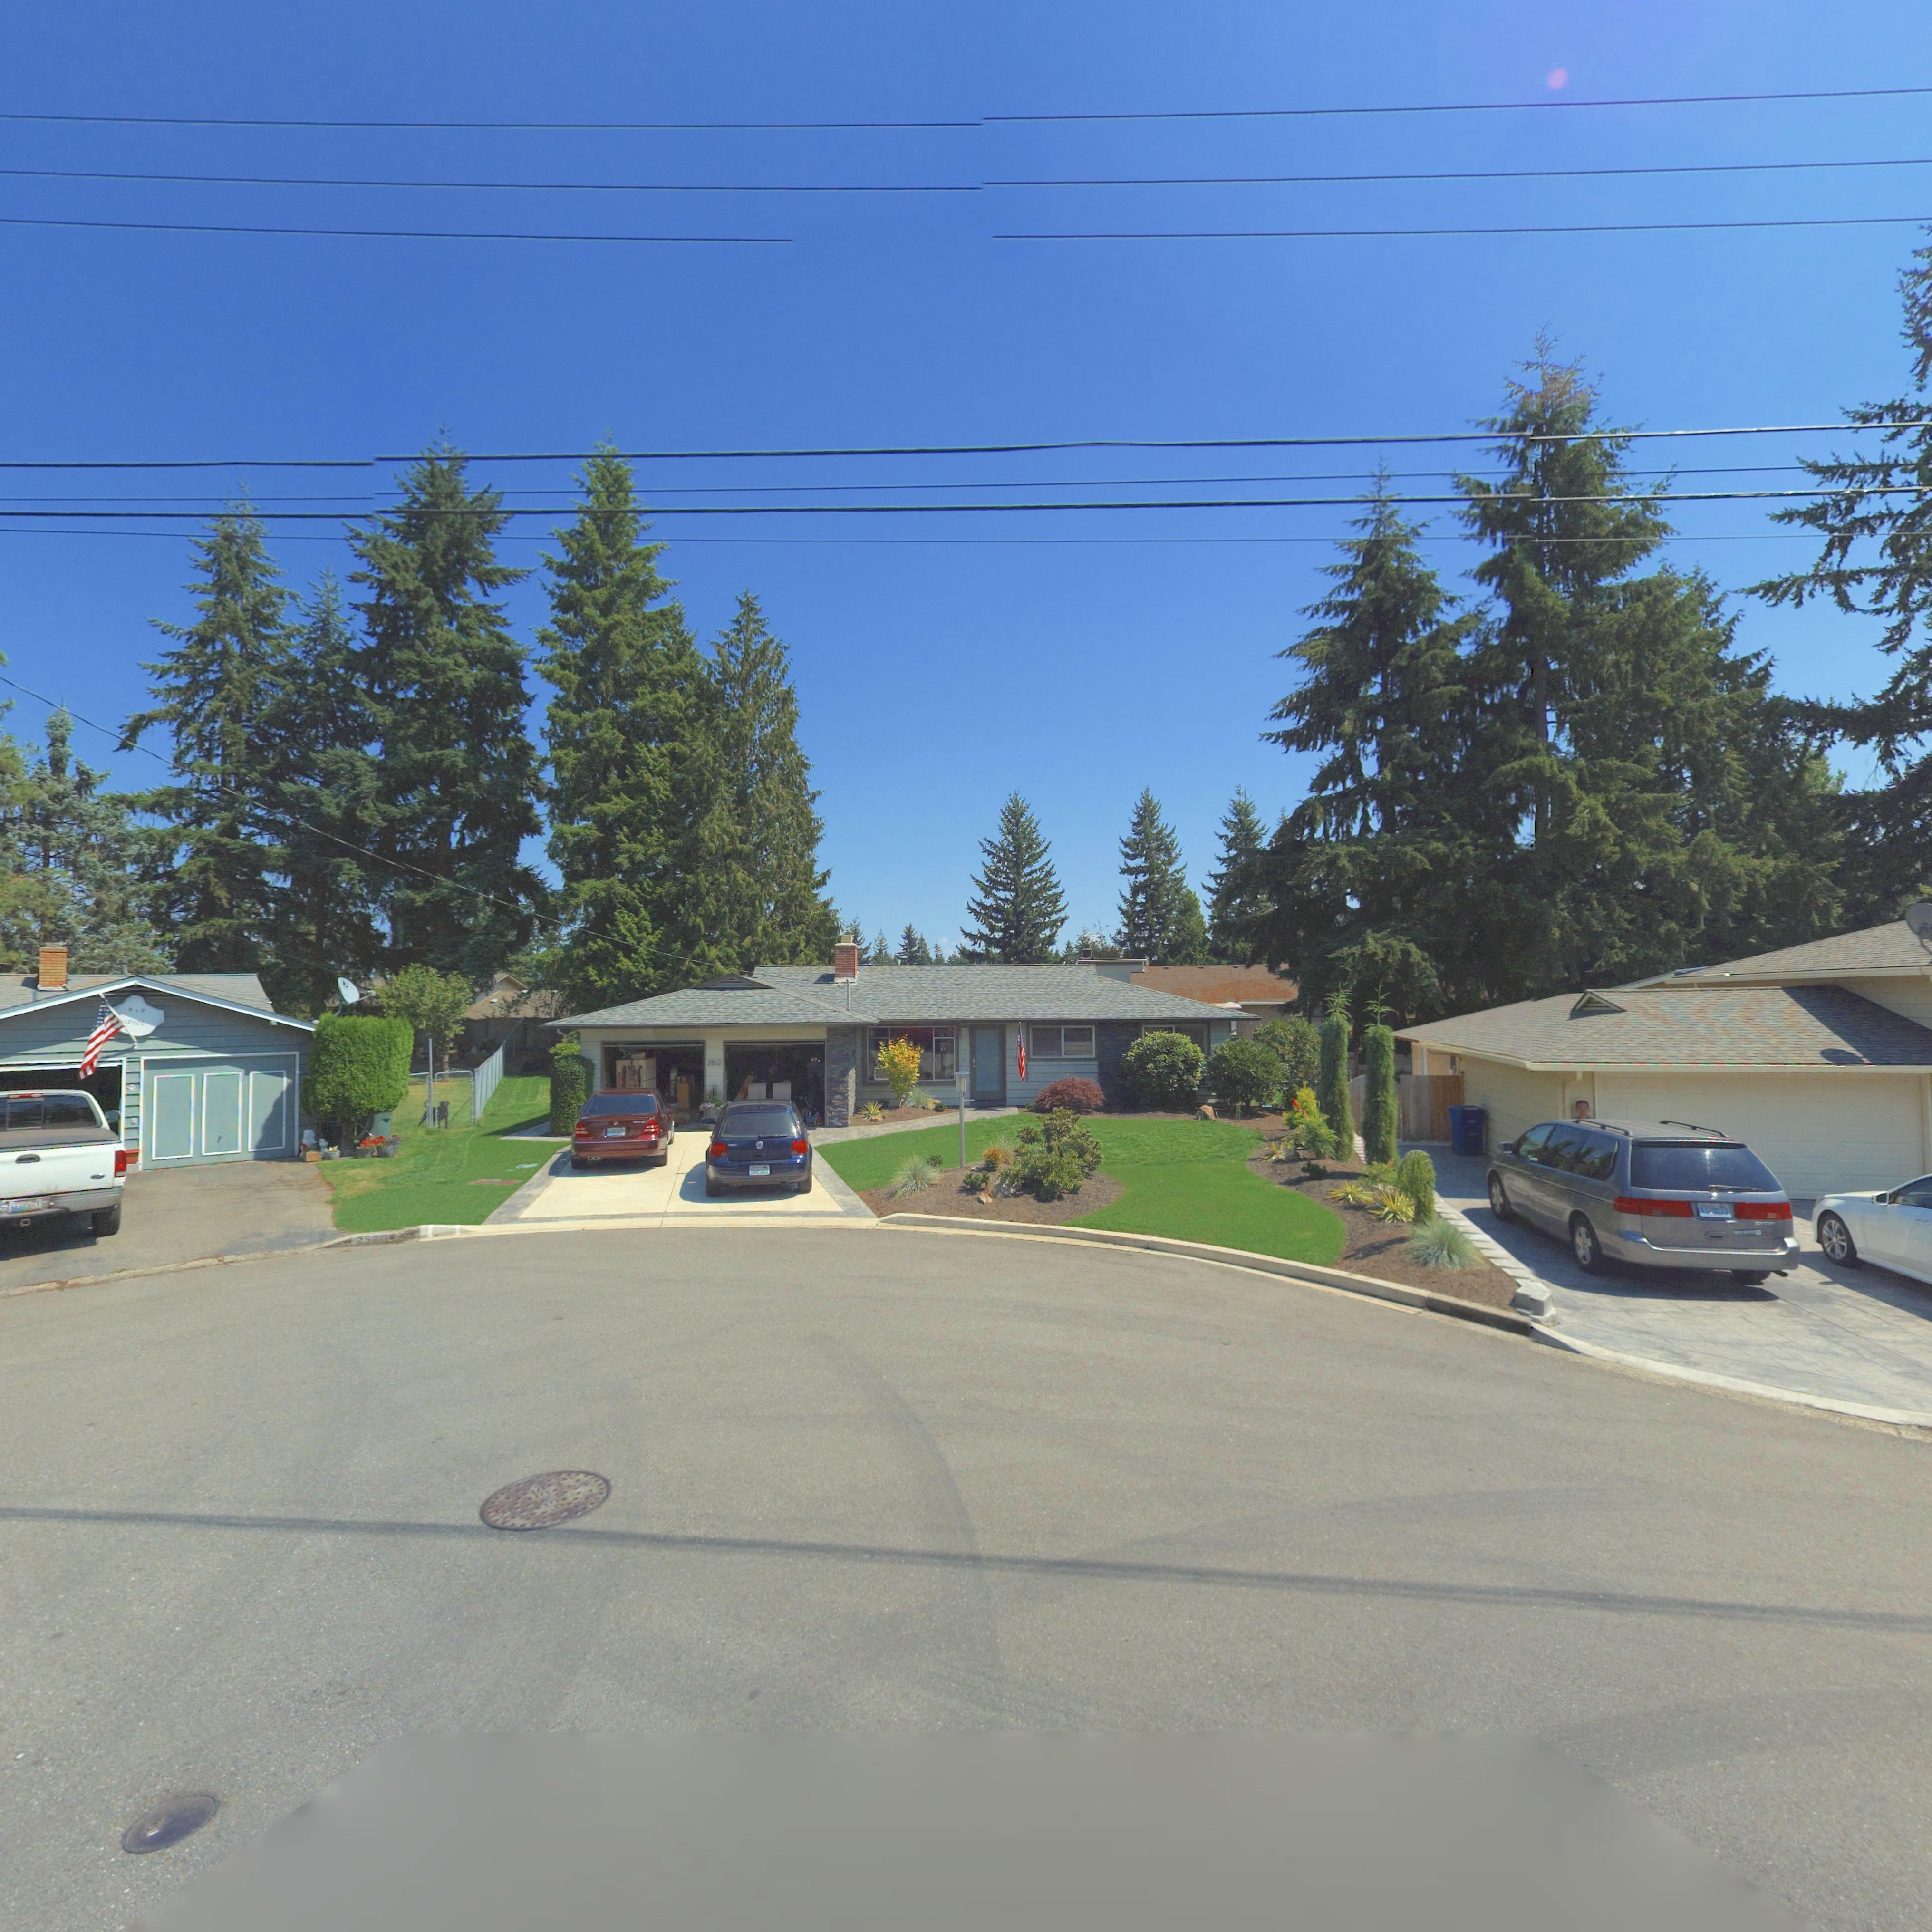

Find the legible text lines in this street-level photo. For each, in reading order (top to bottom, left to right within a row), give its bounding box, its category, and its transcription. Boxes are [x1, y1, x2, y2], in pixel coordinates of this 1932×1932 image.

[707, 1060, 722, 1066] StreetNumber: 2512